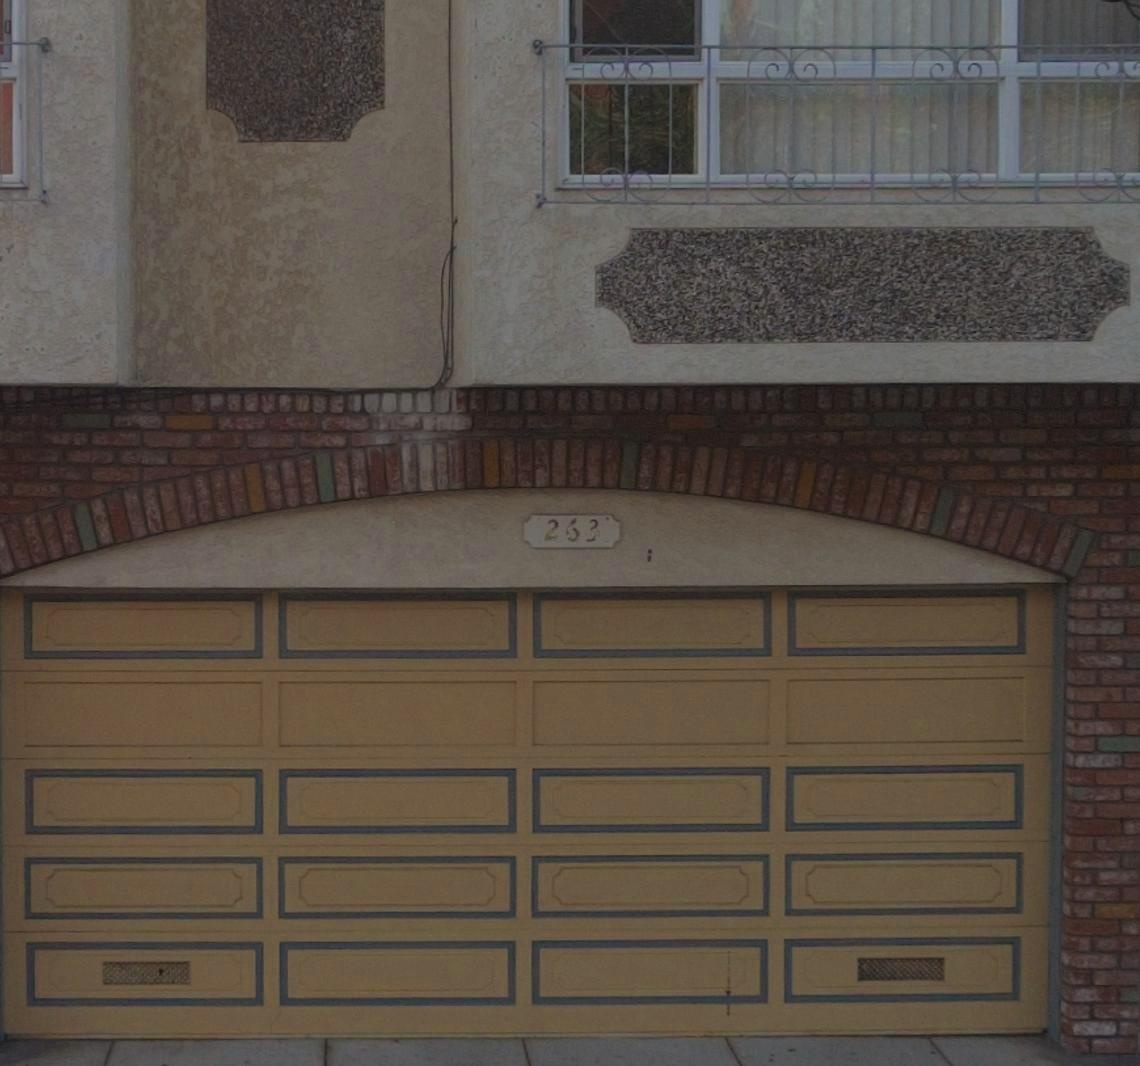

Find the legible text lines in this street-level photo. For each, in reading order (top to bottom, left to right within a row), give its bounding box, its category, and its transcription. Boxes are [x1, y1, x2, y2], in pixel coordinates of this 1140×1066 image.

[543, 517, 602, 543] StreetNumber: 263